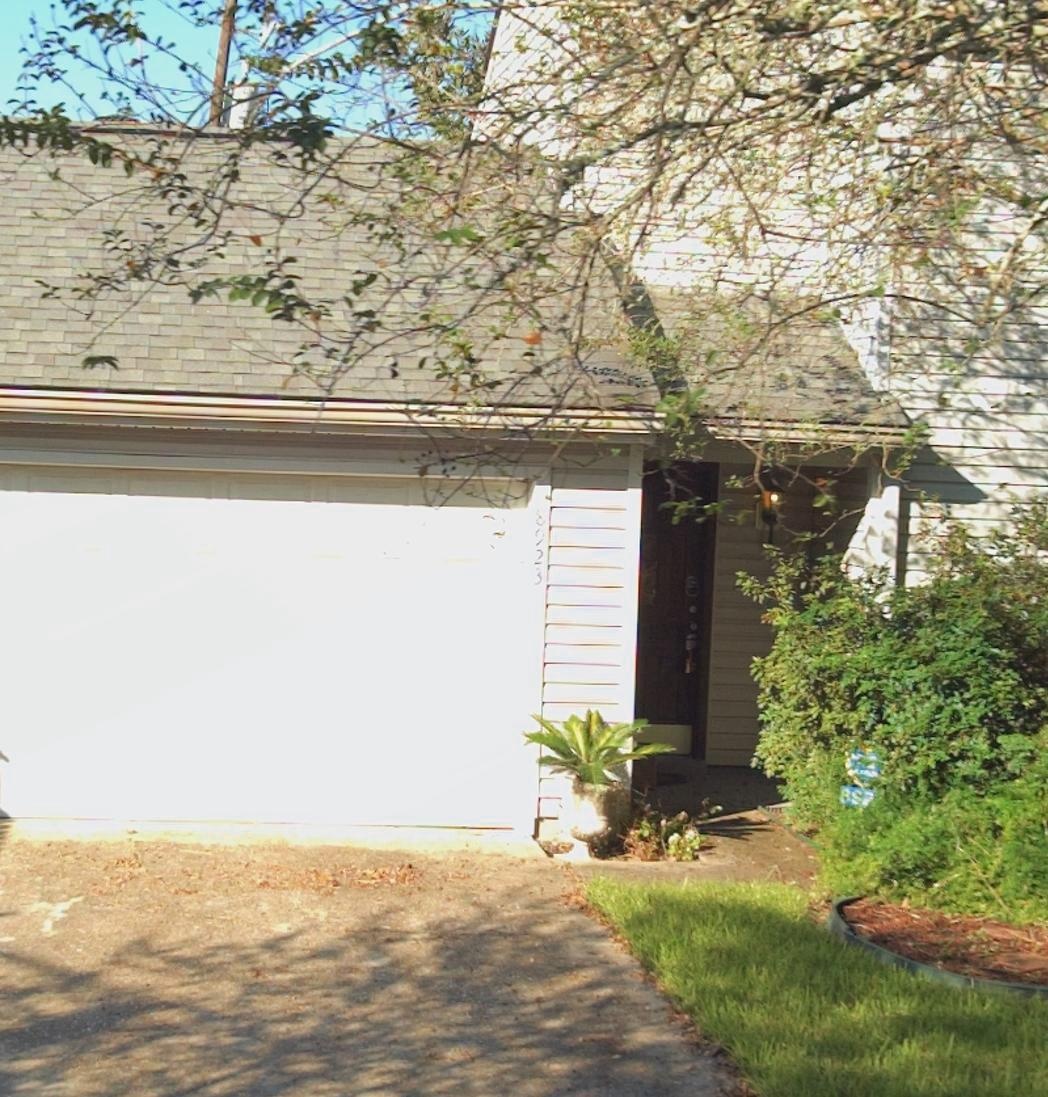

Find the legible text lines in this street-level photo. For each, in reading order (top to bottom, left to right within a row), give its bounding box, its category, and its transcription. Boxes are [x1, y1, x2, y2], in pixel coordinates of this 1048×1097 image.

[532, 507, 548, 586] StreetNumber: 8923